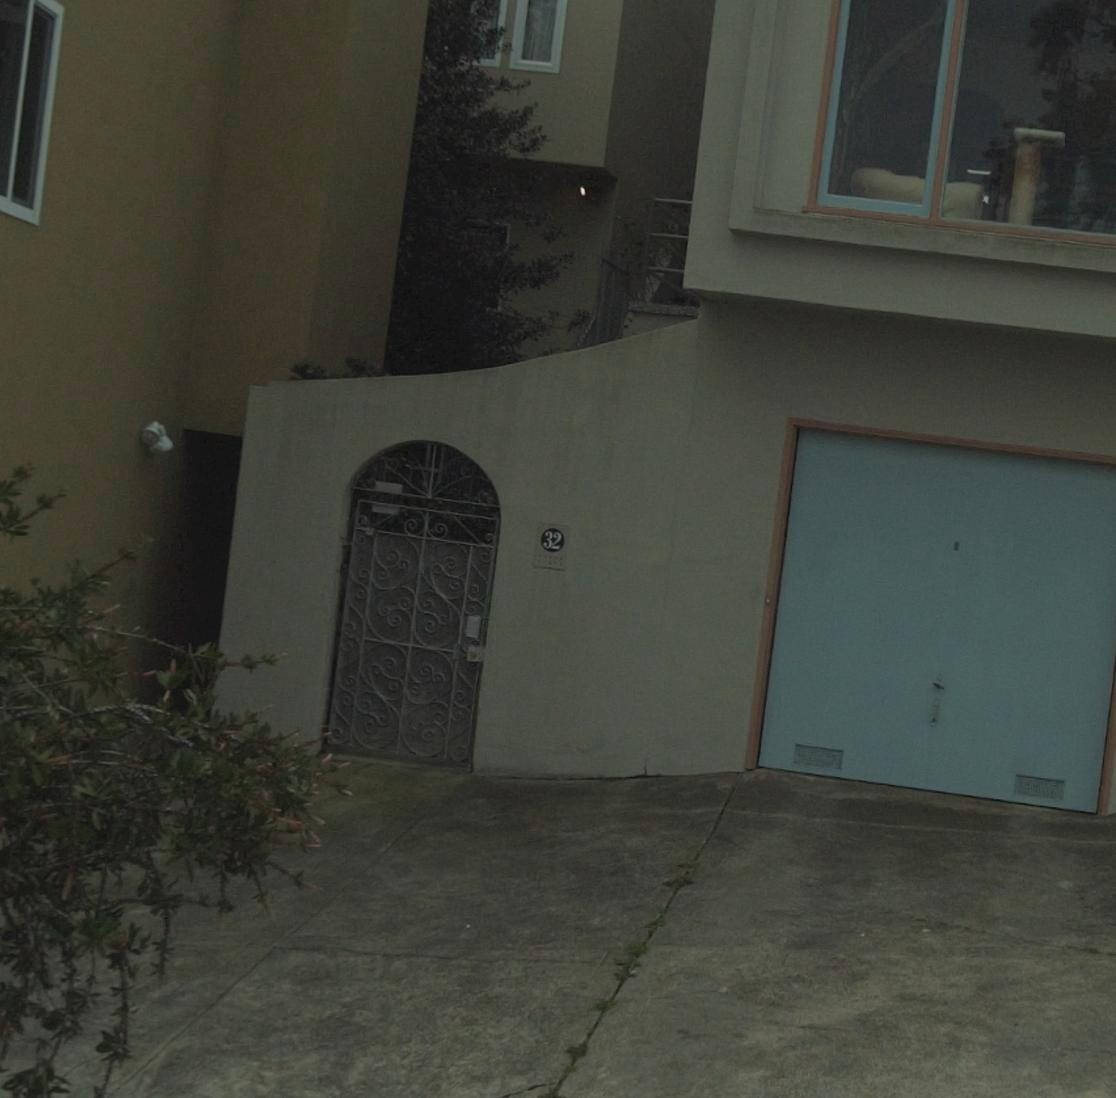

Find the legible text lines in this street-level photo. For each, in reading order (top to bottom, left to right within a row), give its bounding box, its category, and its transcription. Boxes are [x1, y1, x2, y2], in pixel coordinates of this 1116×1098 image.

[540, 529, 563, 550] StreetNumber: 32